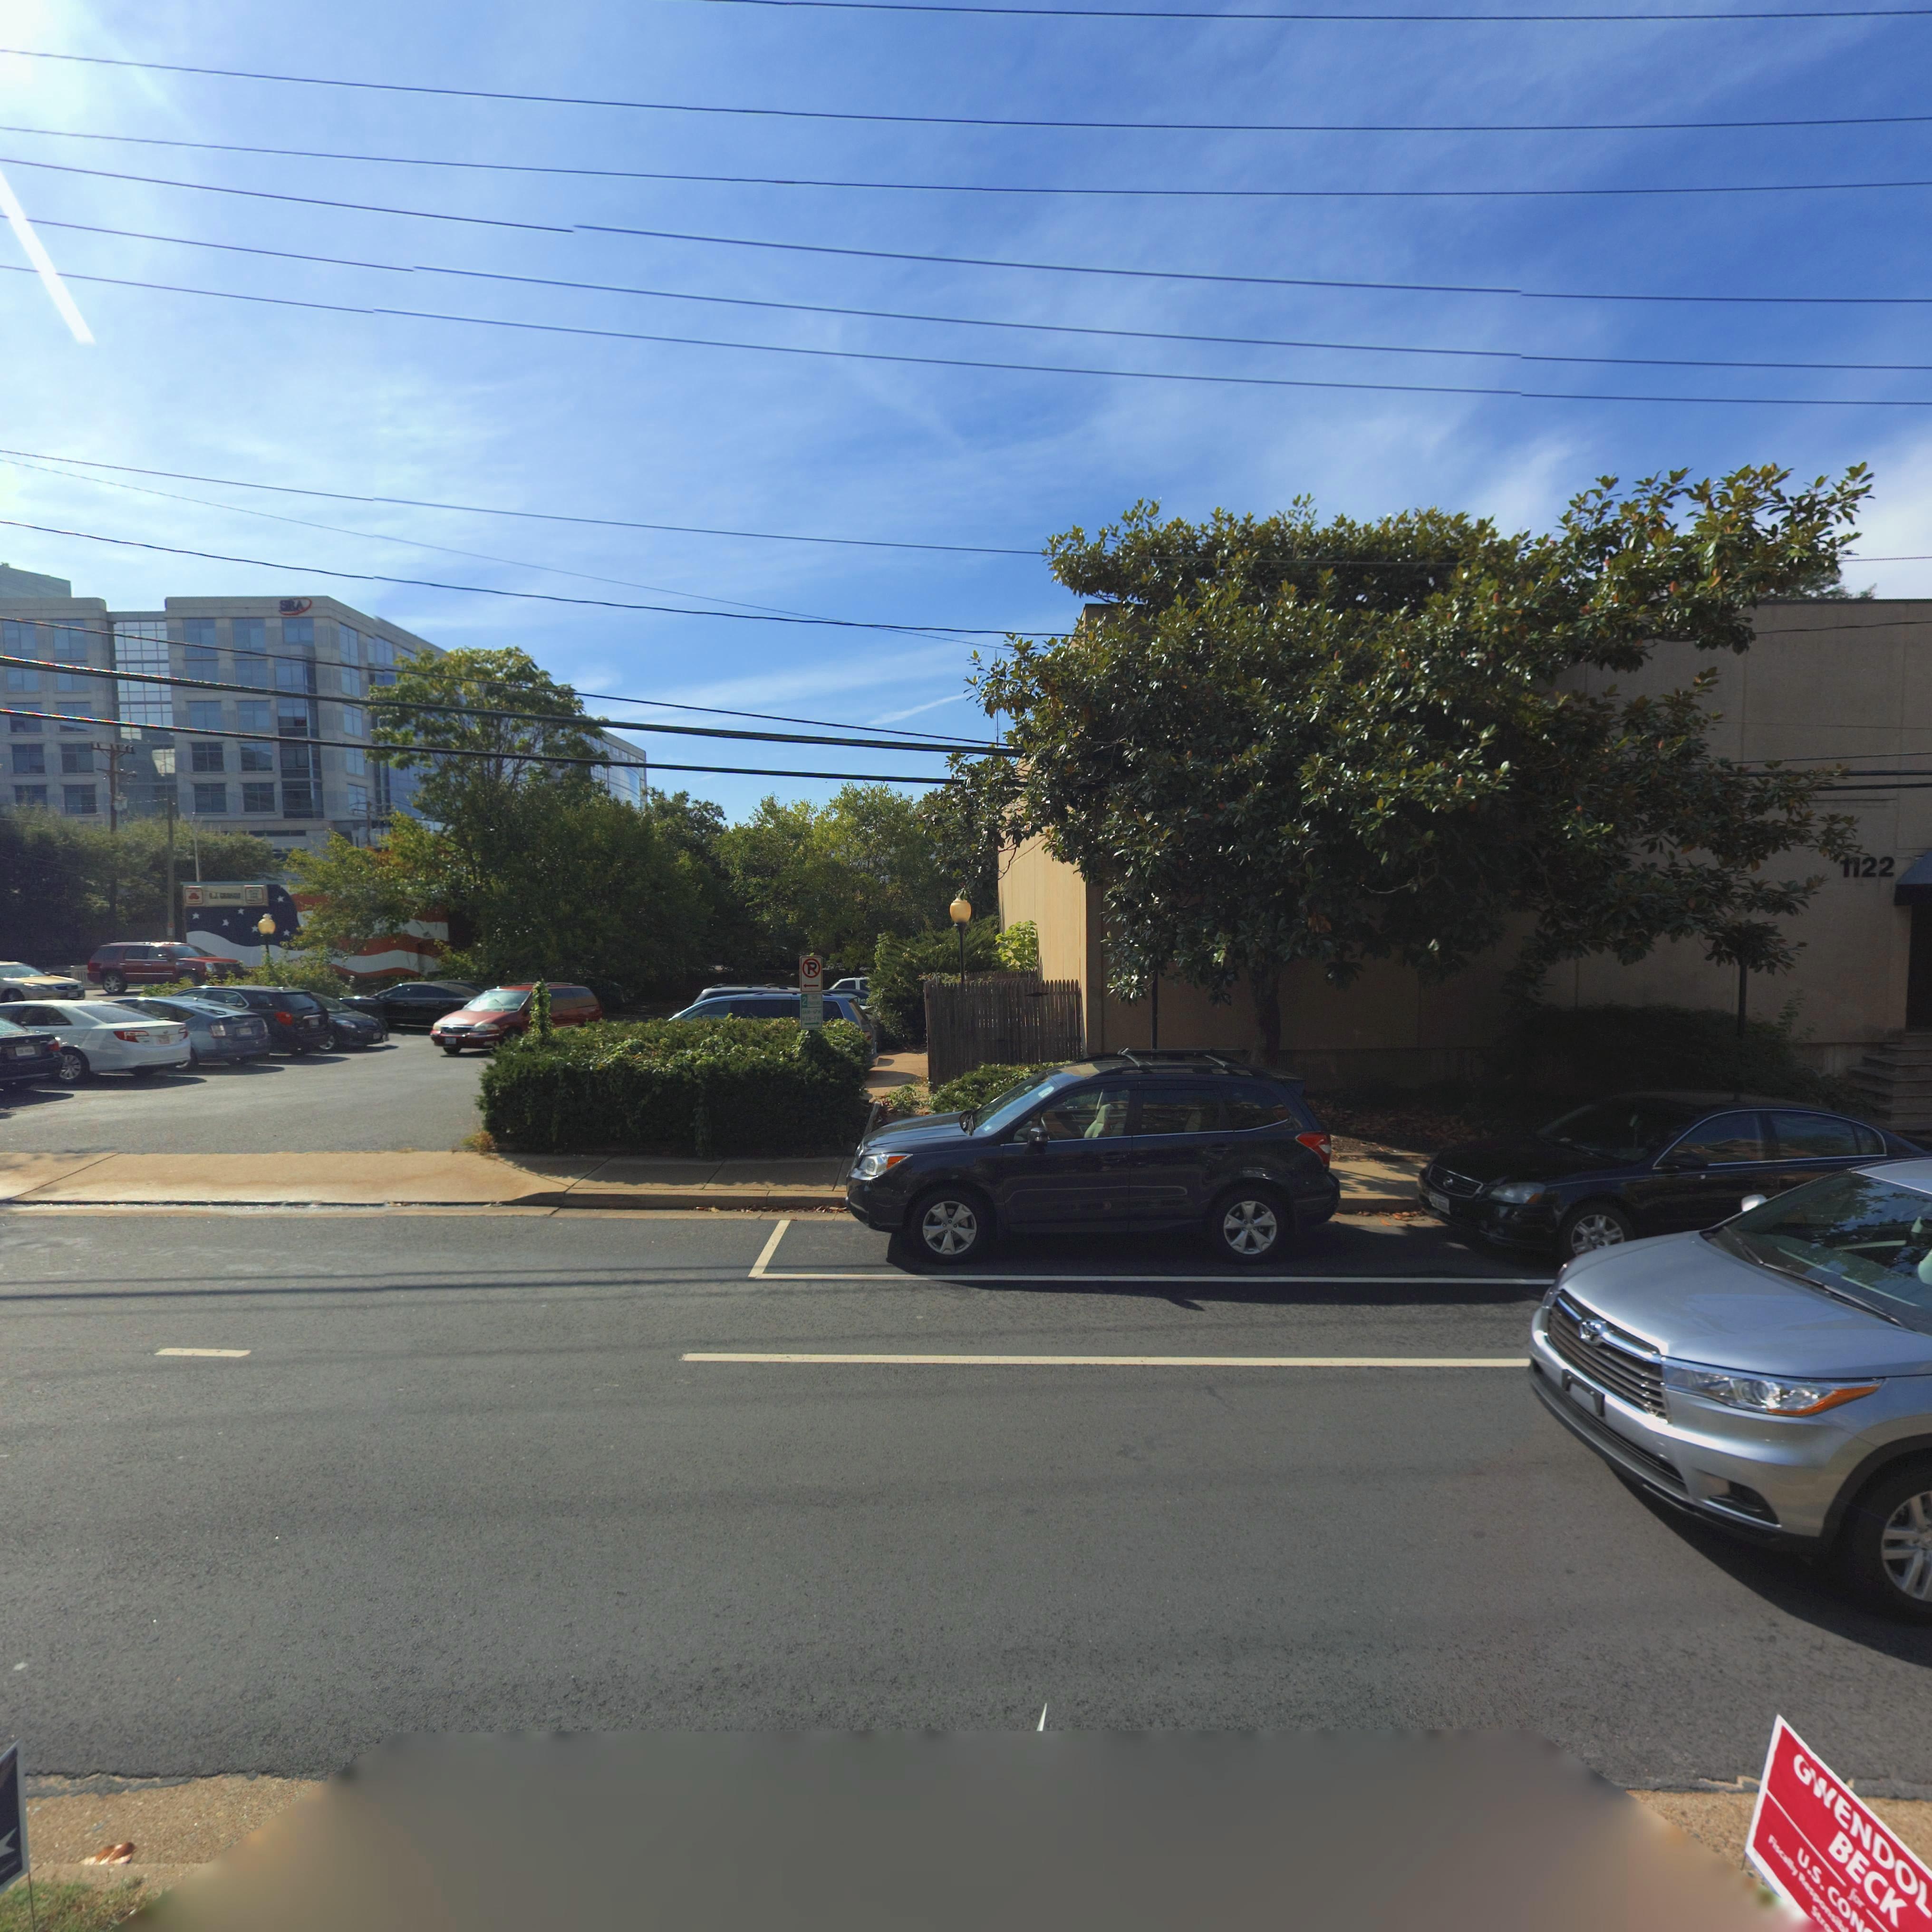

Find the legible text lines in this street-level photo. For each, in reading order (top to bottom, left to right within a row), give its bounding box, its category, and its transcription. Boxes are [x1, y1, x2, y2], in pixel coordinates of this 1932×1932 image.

[279, 599, 305, 612] BusinessName: SRA
[1839, 856, 1895, 878] StreetNumber: 1122
[208, 892, 241, 899] None: *.J. GRAHAM
[802, 996, 807, 1006] None: 2
[802, 1009, 821, 1015] None: *AM-6PM
[802, 1015, 821, 1022] None: *ON-FRI
[1793, 1753, 1932, 1922] None: GWENDOL
[1768, 1833, 1845, 1932] None: Fiscally Responsib
[1796, 1845, 1866, 1932] None: U.S. CON
[1845, 1887, 1866, 1909] None: for
[1826, 1829, 1910, 1931] None: BECK
[1811, 1904, 1832, 1932] None: Stro